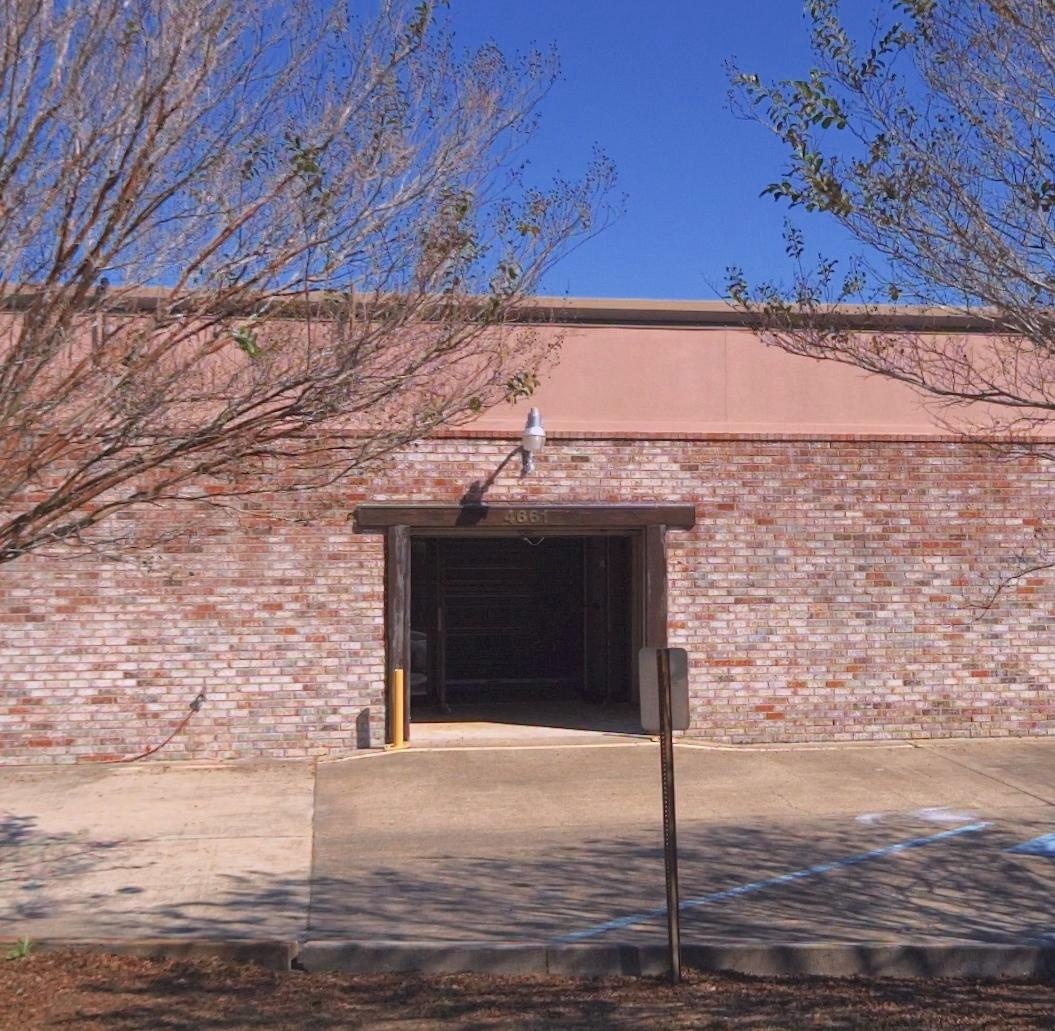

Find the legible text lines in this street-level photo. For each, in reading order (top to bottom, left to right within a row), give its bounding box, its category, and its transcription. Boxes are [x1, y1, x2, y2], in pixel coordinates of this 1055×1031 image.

[502, 506, 551, 528] StreetNumber: 4661